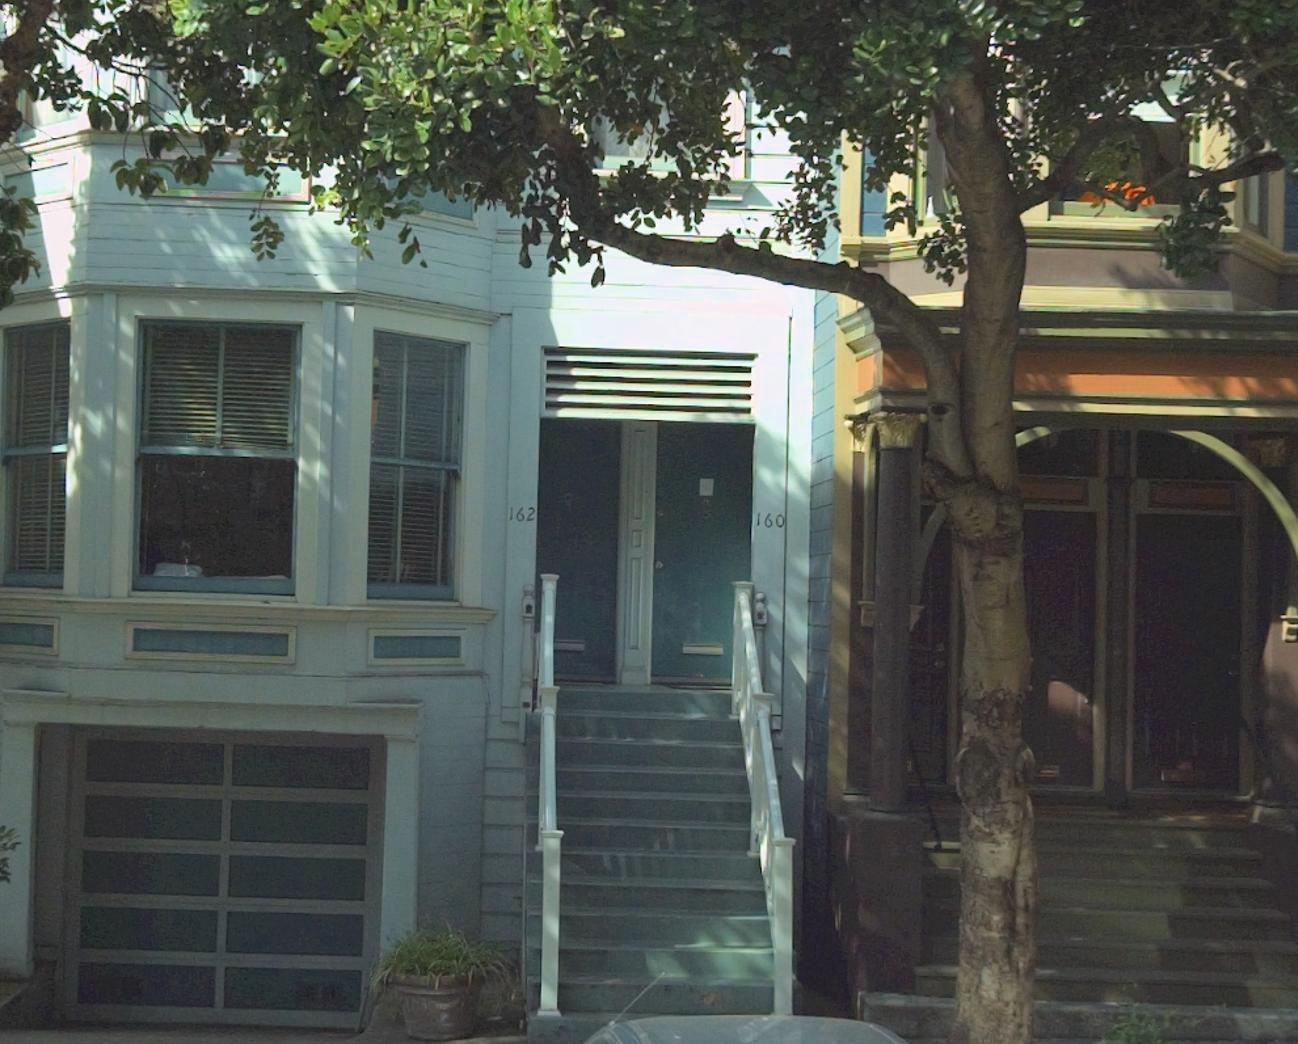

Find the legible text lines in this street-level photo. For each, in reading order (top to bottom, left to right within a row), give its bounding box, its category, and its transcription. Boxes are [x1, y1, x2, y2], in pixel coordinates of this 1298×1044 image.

[508, 506, 537, 523] StreetNumber: 162
[754, 510, 785, 529] StreetNumber: 160